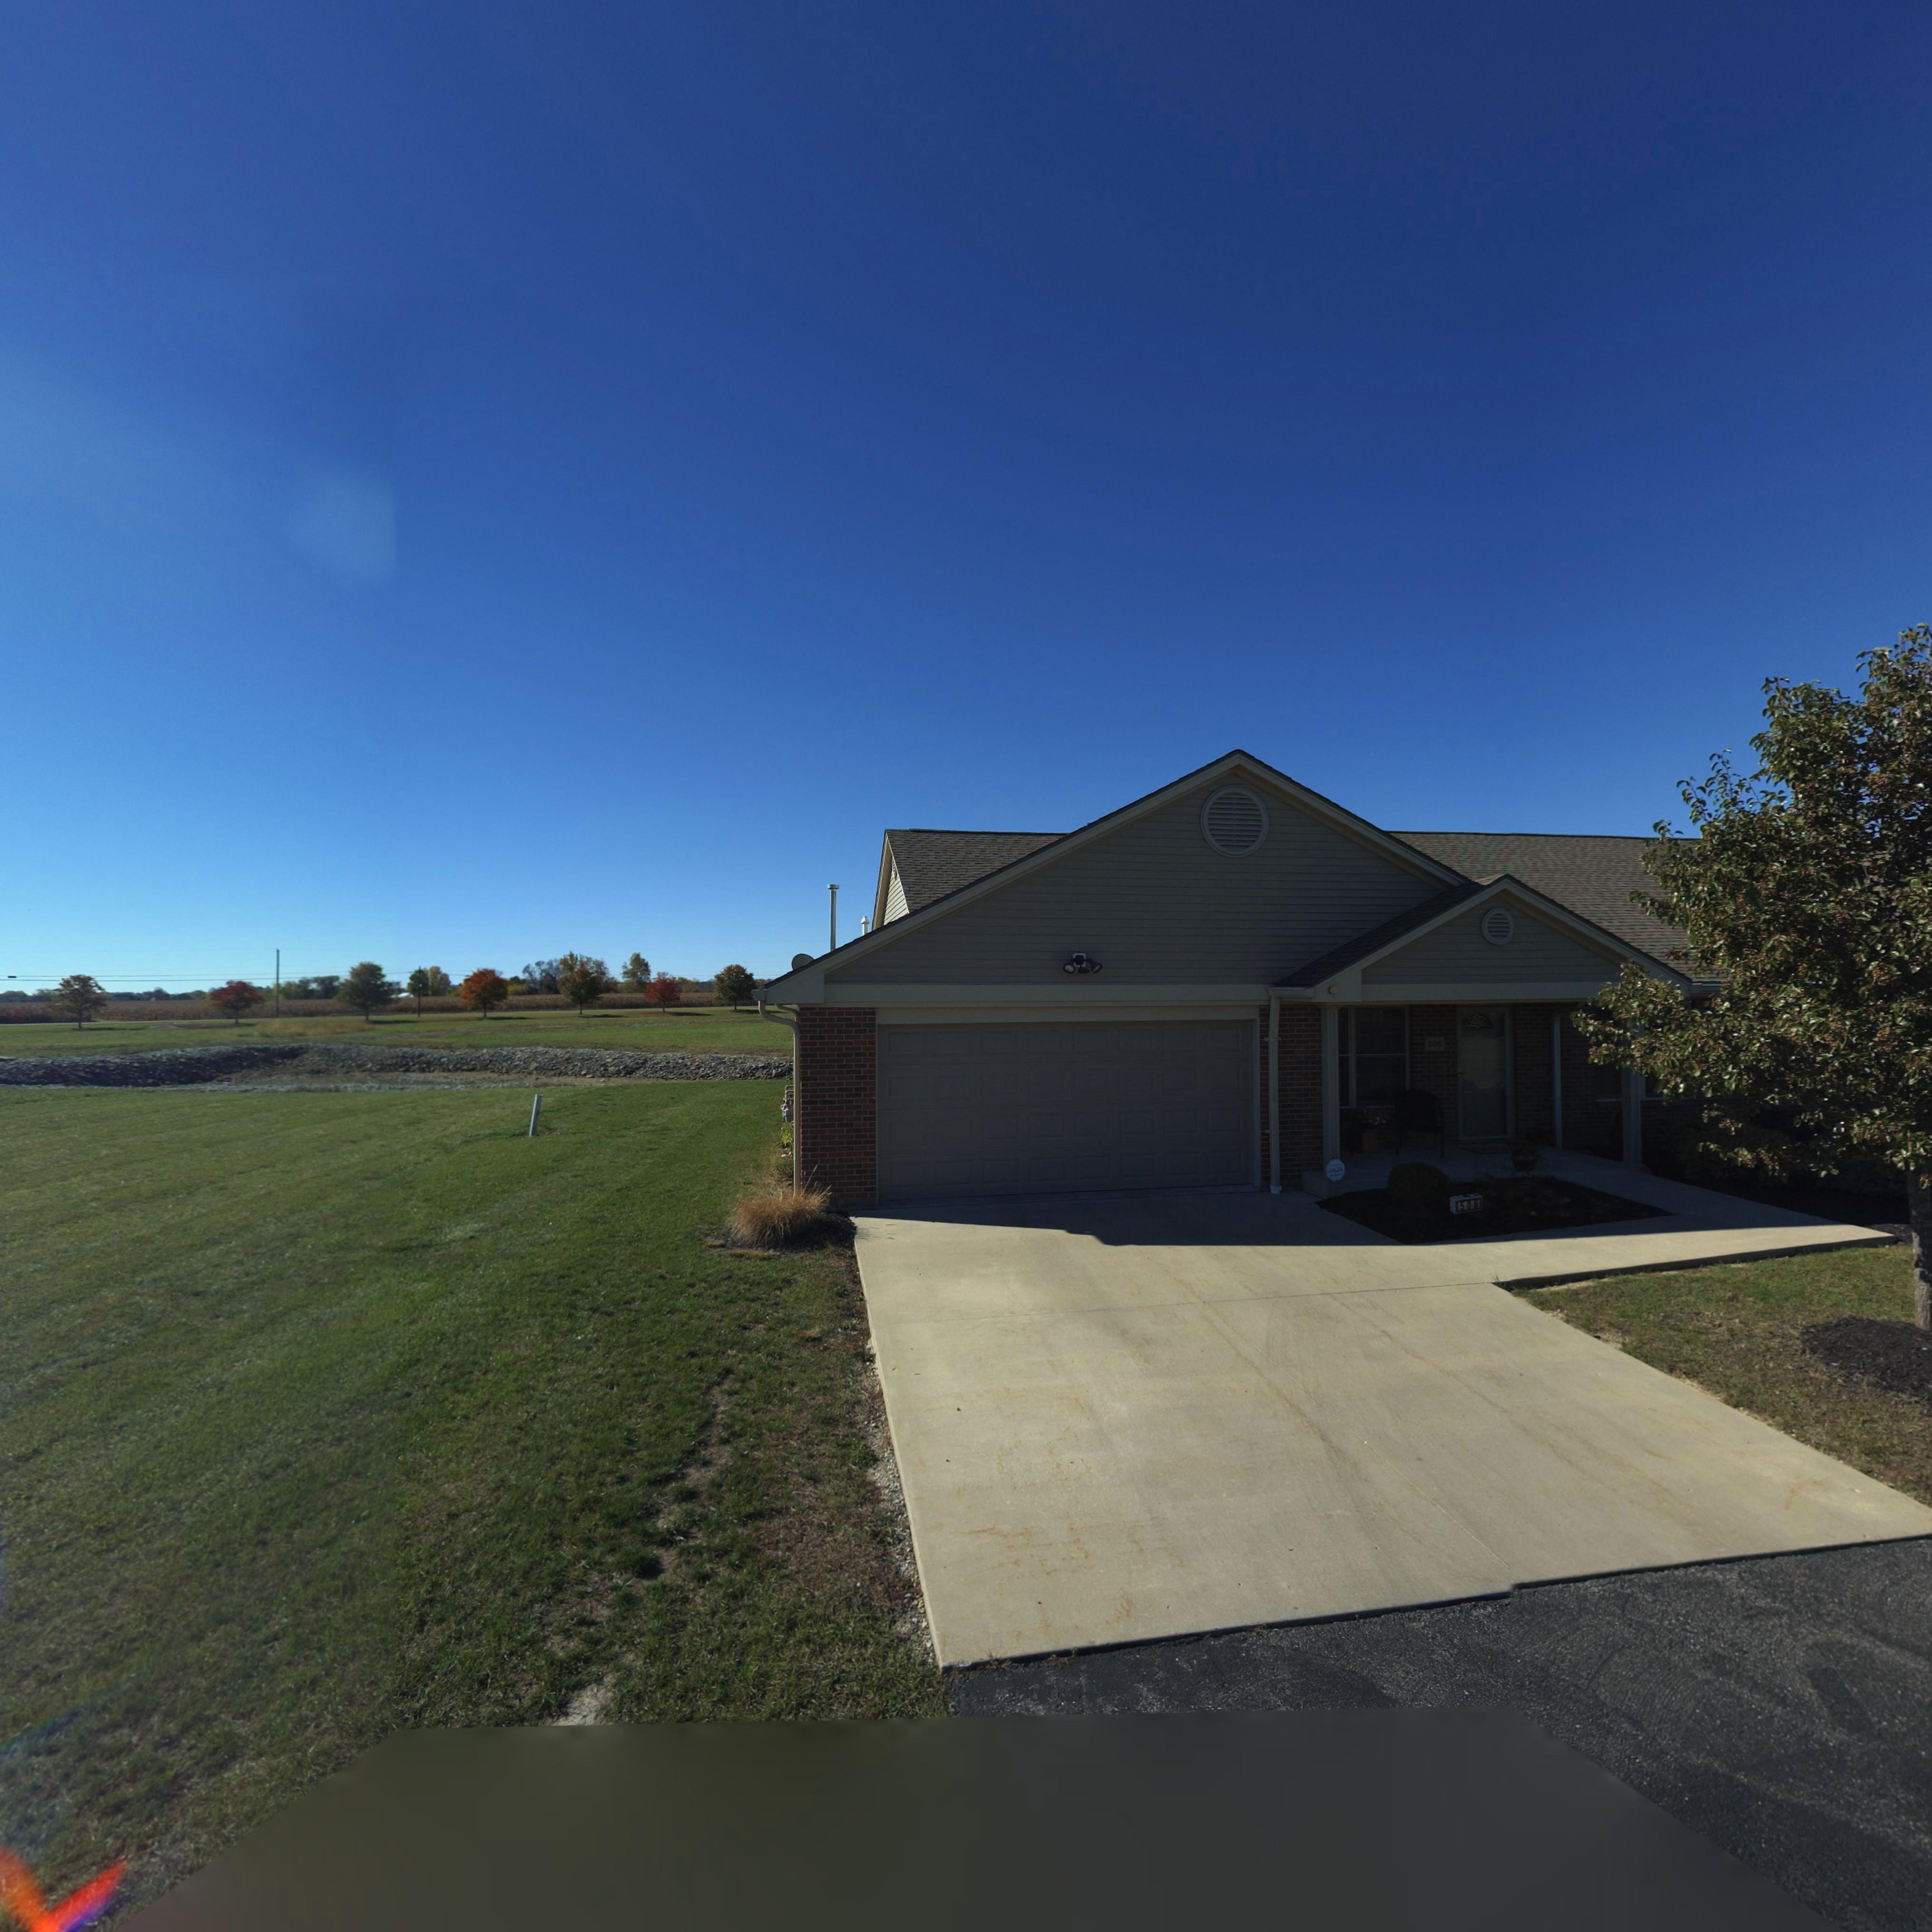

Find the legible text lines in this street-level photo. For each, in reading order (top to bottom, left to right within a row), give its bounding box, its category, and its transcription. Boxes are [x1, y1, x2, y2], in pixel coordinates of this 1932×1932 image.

[1427, 1041, 1442, 1047] StreetNumber: 506
[1459, 1199, 1478, 1211] StreetNumber: 506